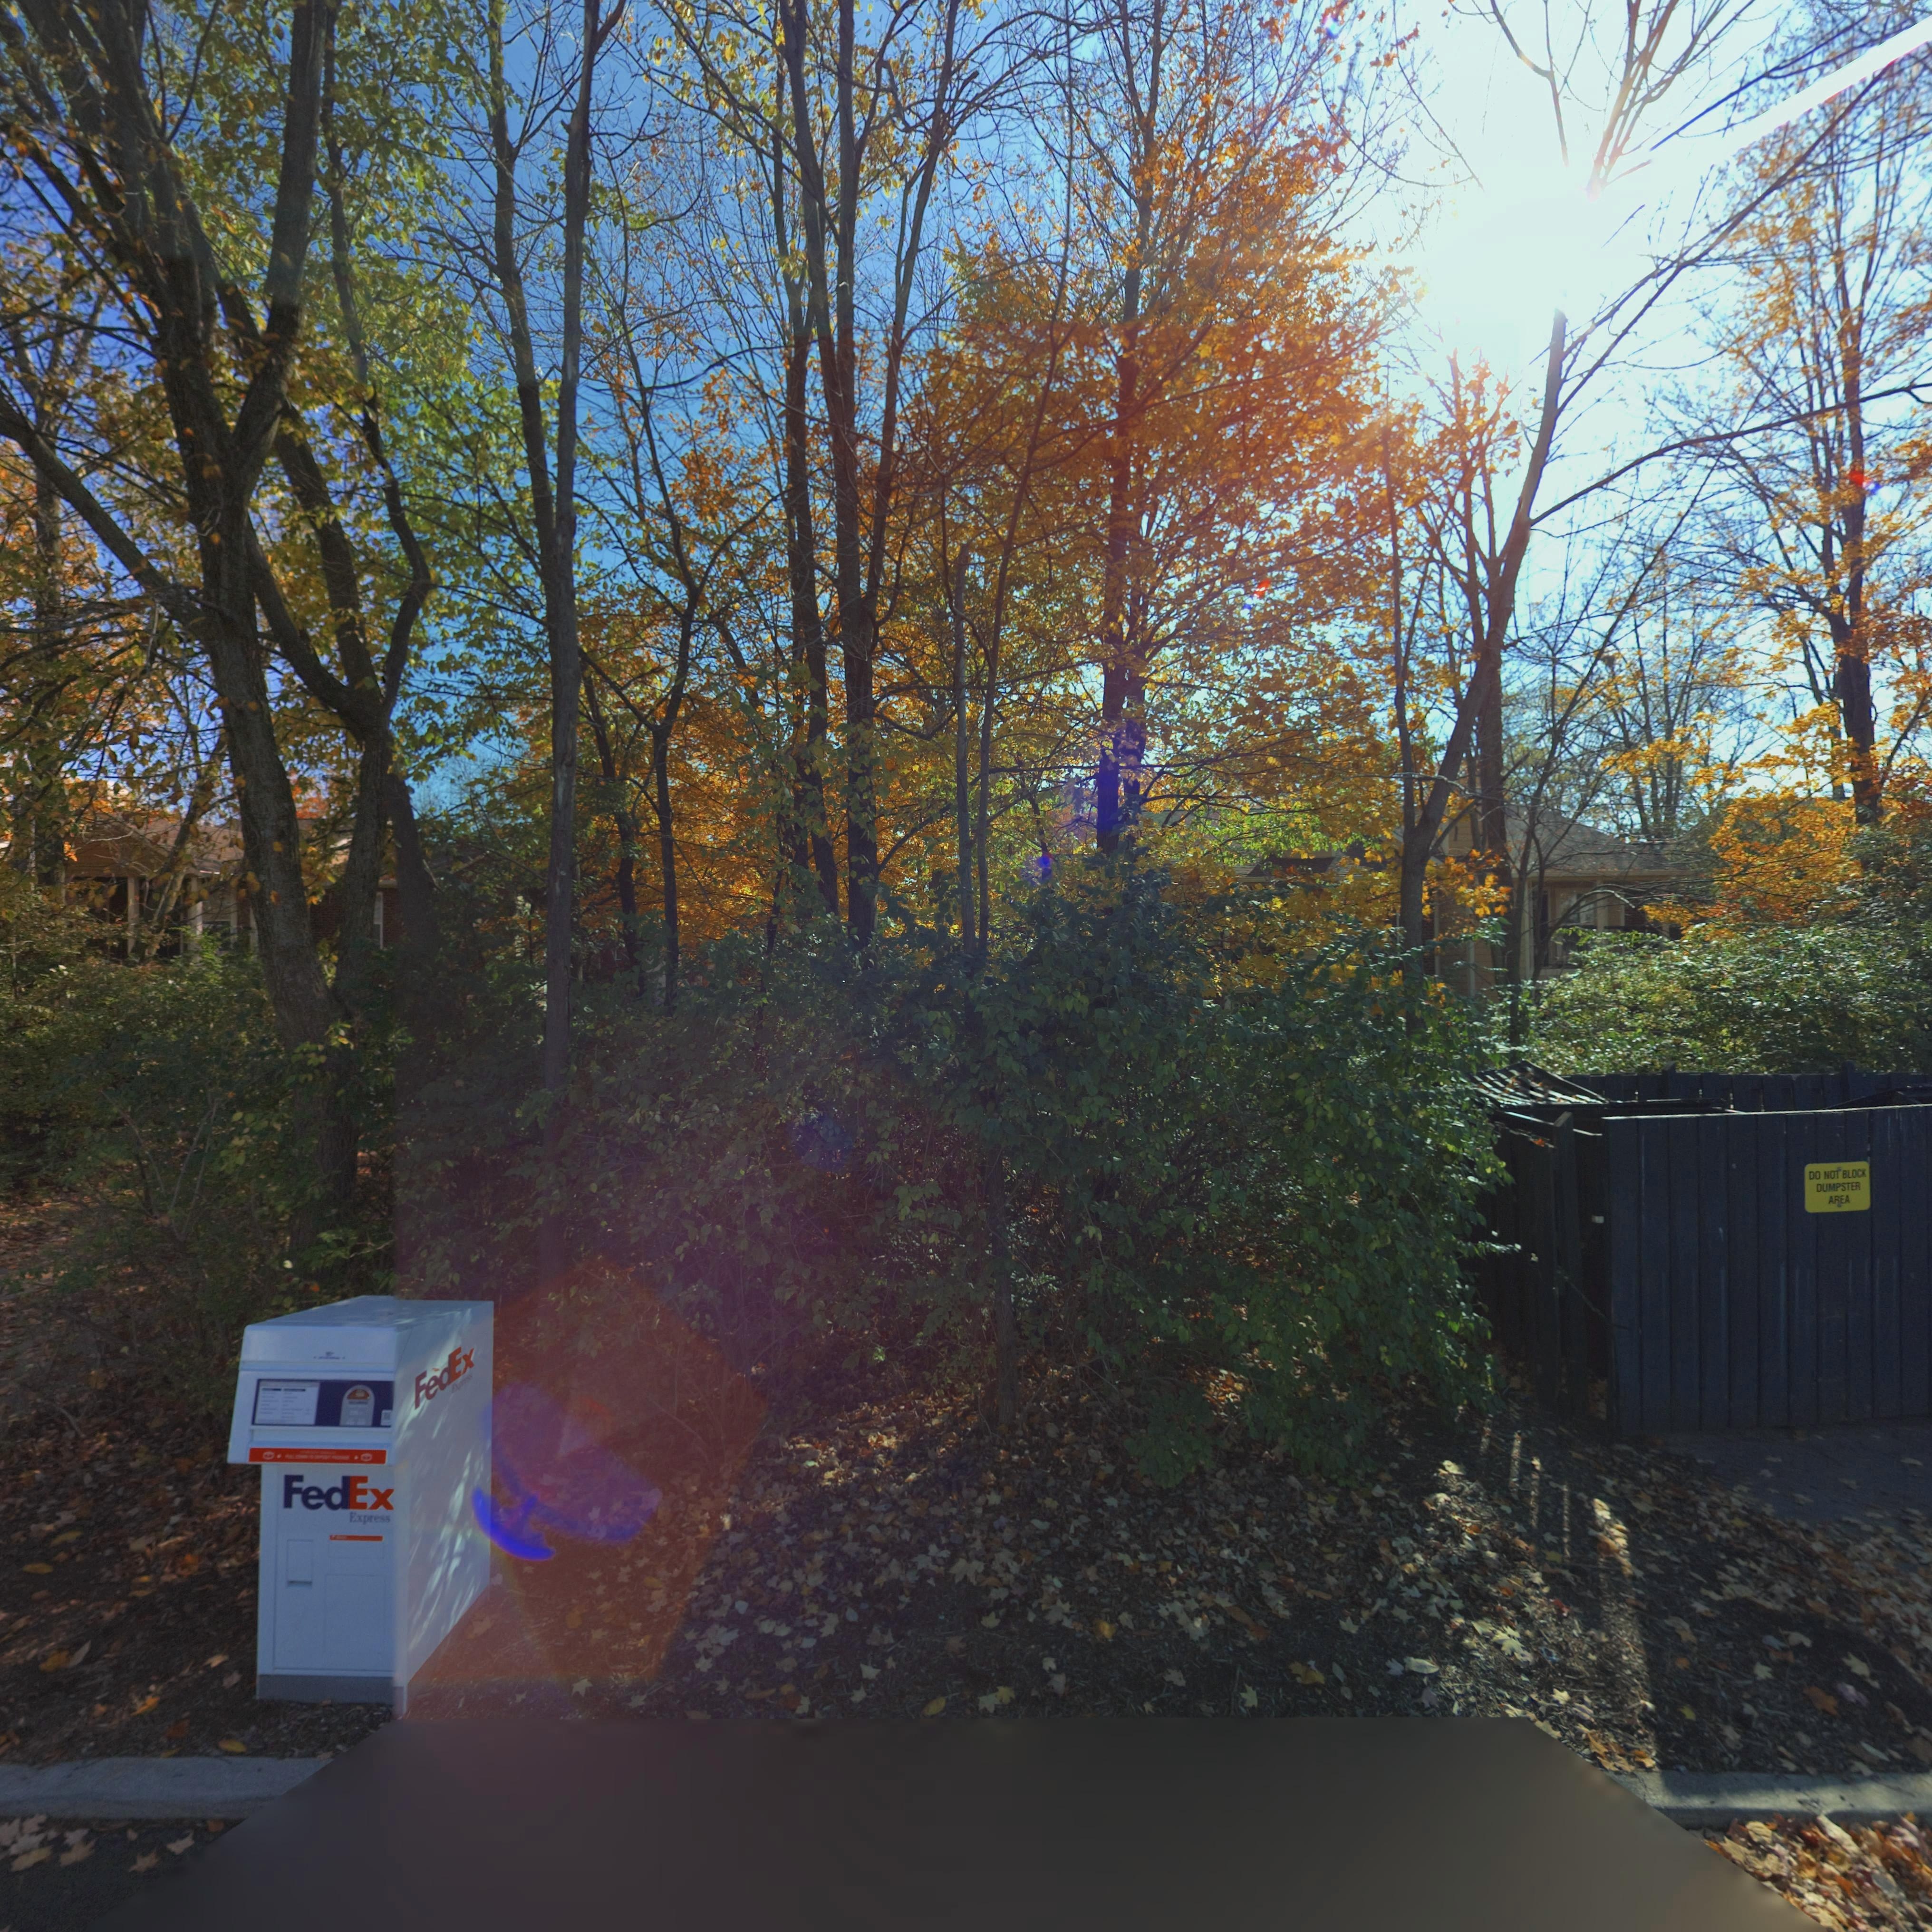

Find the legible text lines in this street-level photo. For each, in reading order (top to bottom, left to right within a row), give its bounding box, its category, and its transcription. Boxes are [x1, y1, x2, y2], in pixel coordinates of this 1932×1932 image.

[1808, 1168, 1867, 1181] None: DO NOT BLOCK
[1816, 1181, 1861, 1193] None: DUMPSTER
[1827, 1194, 1852, 1204] None: AREA
[414, 1345, 476, 1412] None: FedEx
[451, 1371, 474, 1394] None: Express
[282, 1473, 395, 1511] None: FedEx
[349, 1511, 392, 1524] None: Express